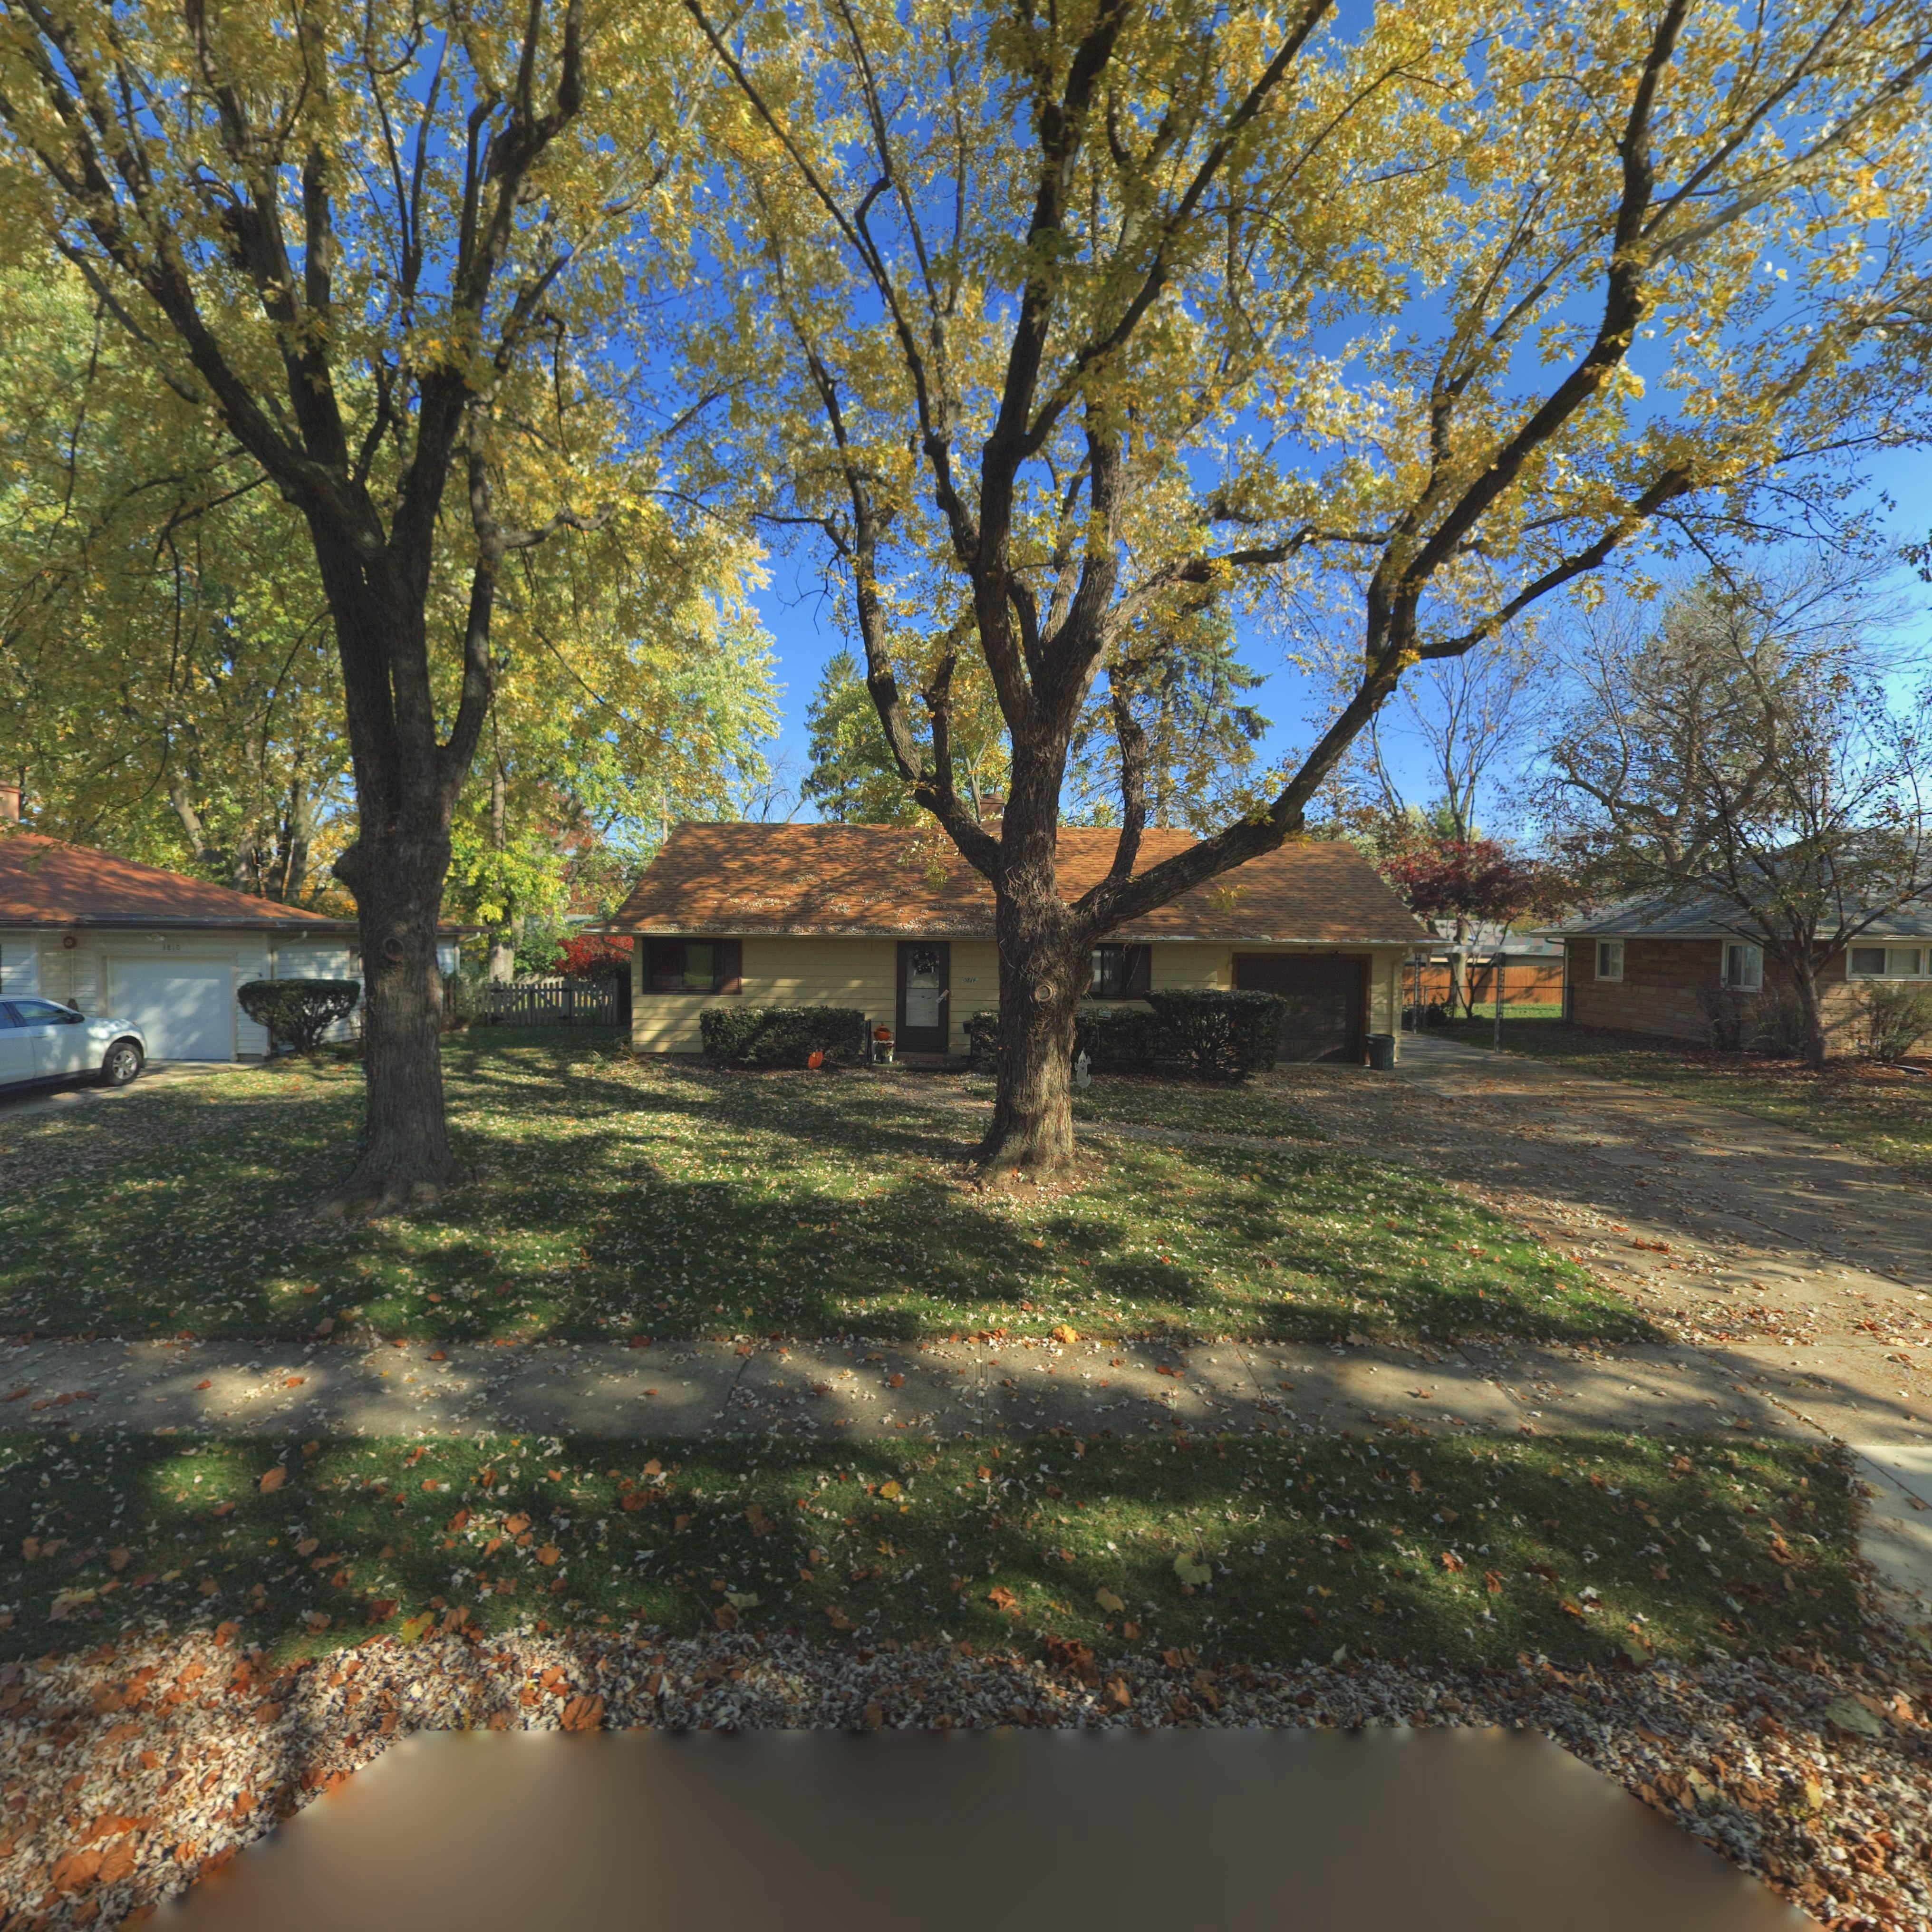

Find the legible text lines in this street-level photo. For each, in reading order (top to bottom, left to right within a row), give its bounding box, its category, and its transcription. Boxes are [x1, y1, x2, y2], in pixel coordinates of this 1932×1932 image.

[963, 977, 976, 983] StreetNumber: 3814